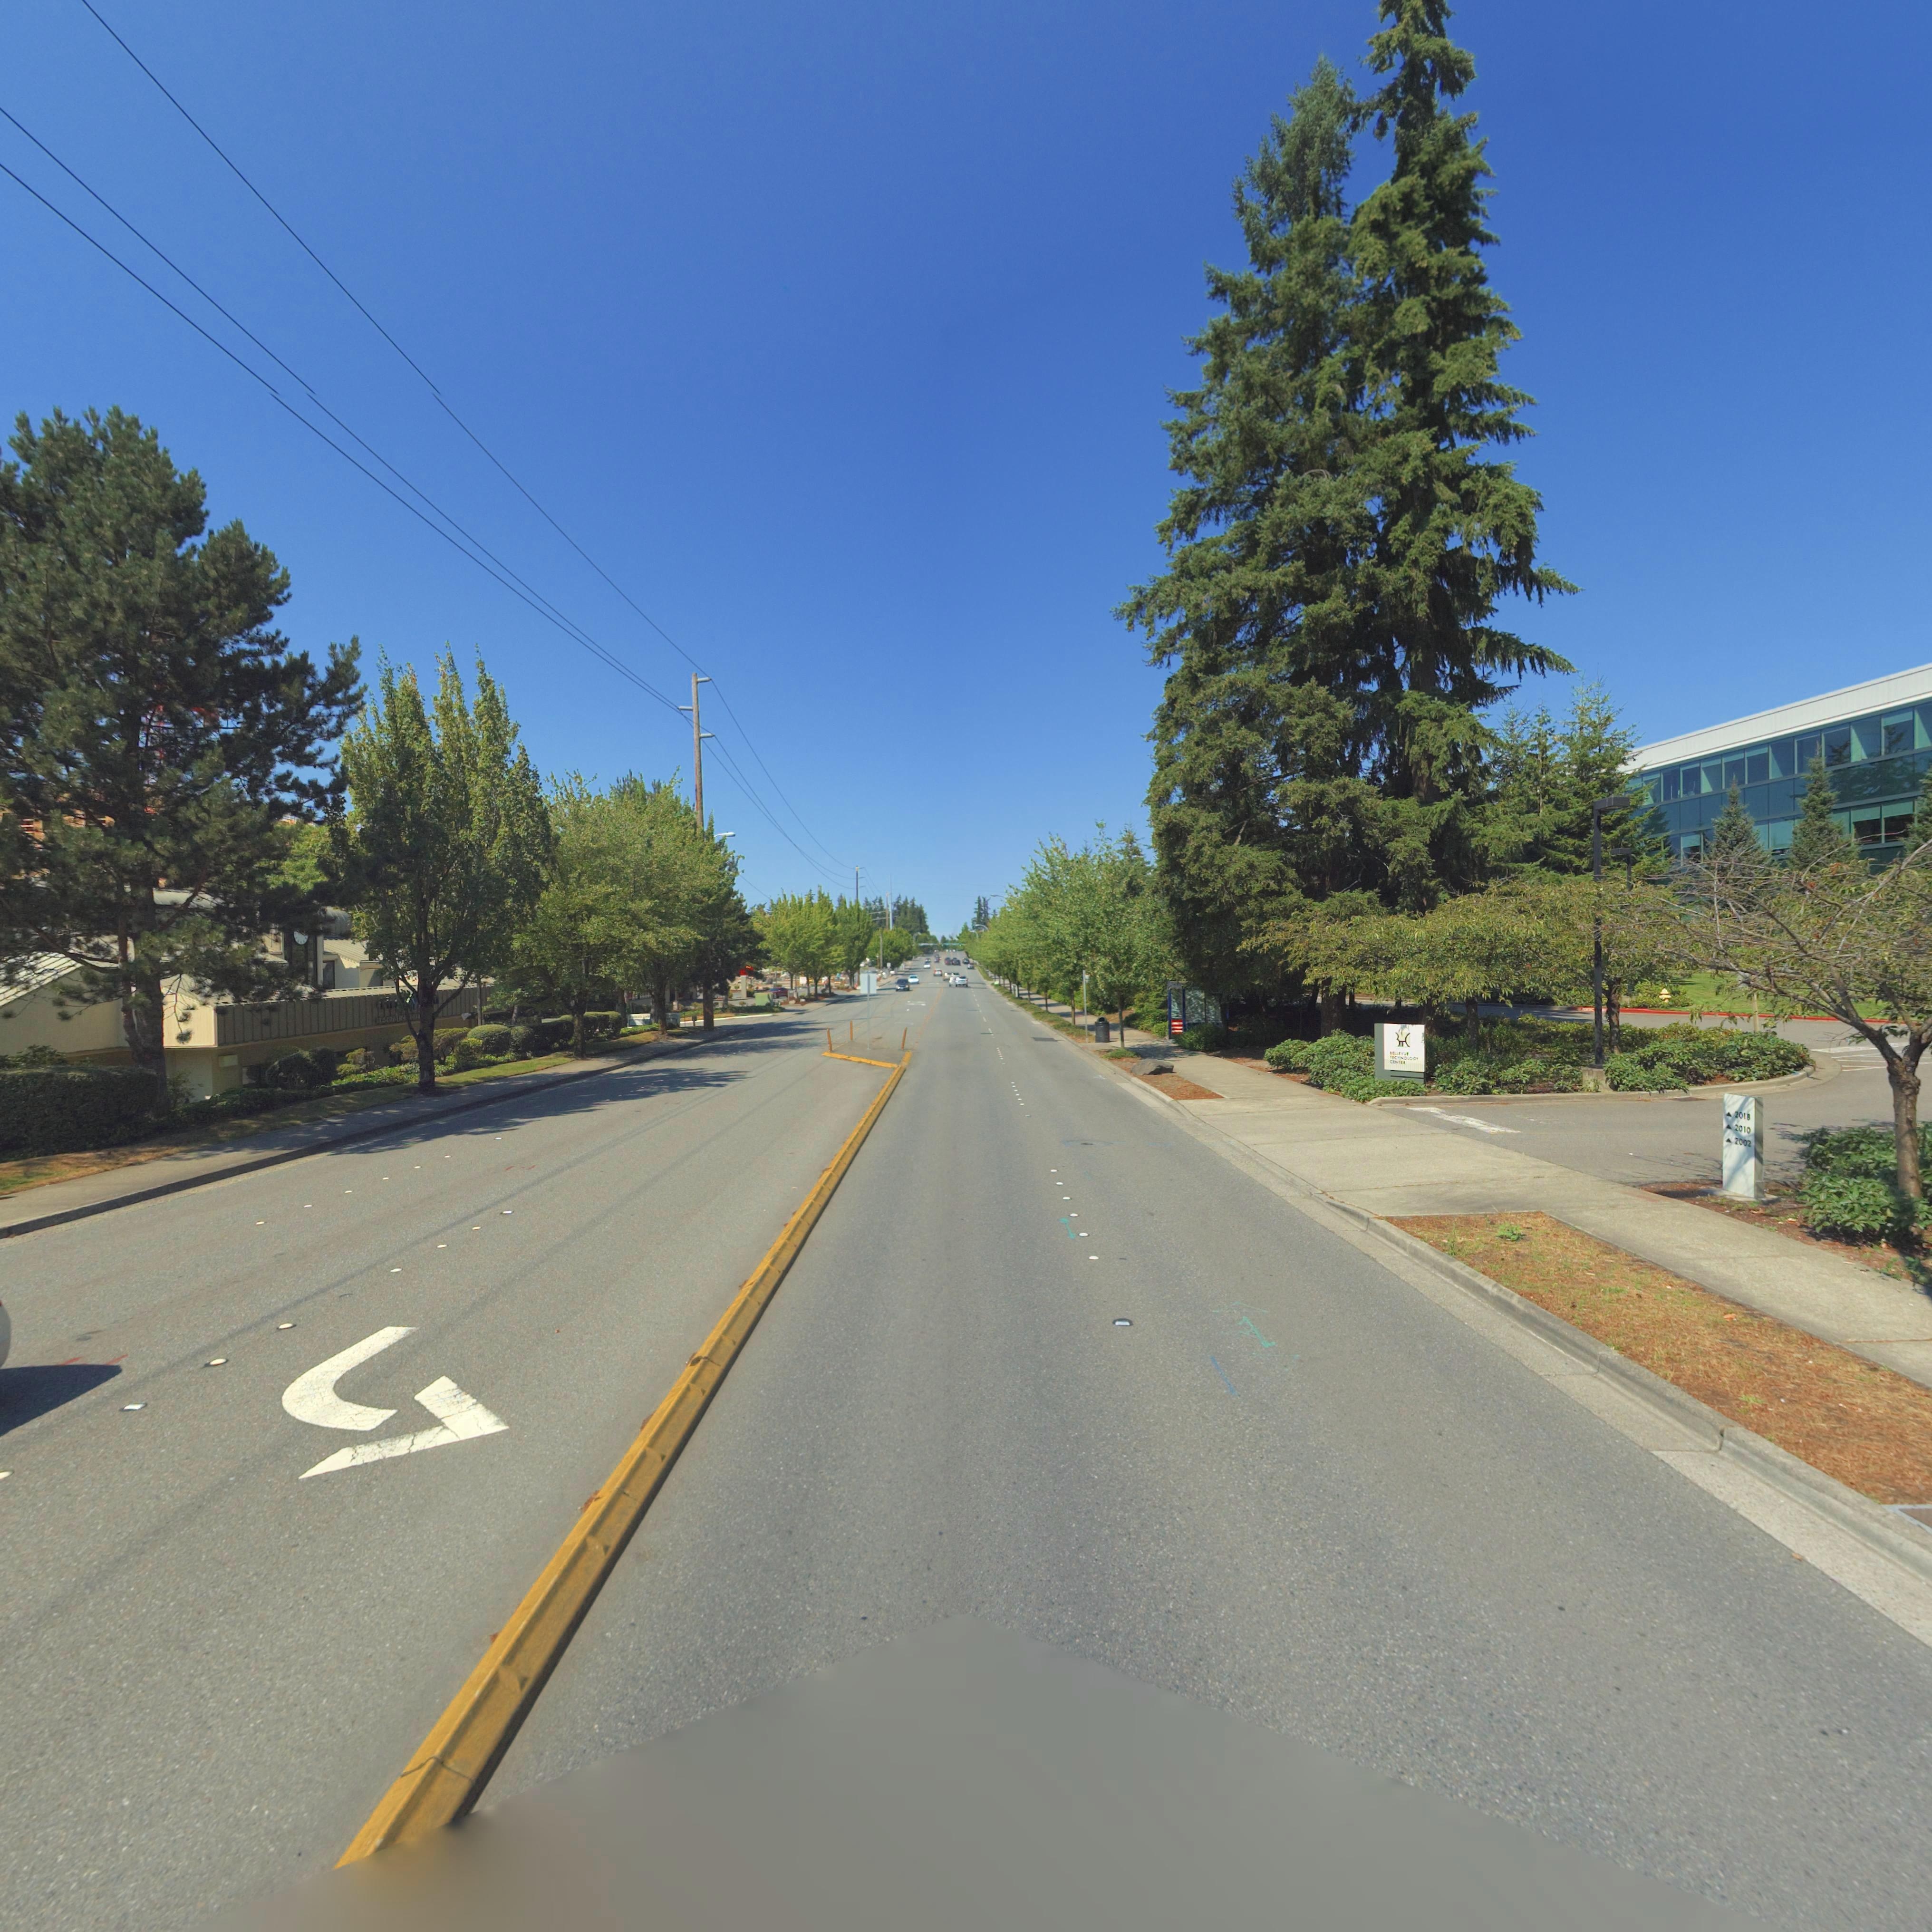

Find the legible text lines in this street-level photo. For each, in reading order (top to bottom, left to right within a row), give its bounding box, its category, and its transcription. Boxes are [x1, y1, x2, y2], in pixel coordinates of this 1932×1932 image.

[1734, 1110, 1751, 1121] StreetNumber: 2018
[1734, 1123, 1751, 1134] StreetNumber: 2010
[1734, 1137, 1751, 1147] StreetNumber: 2002